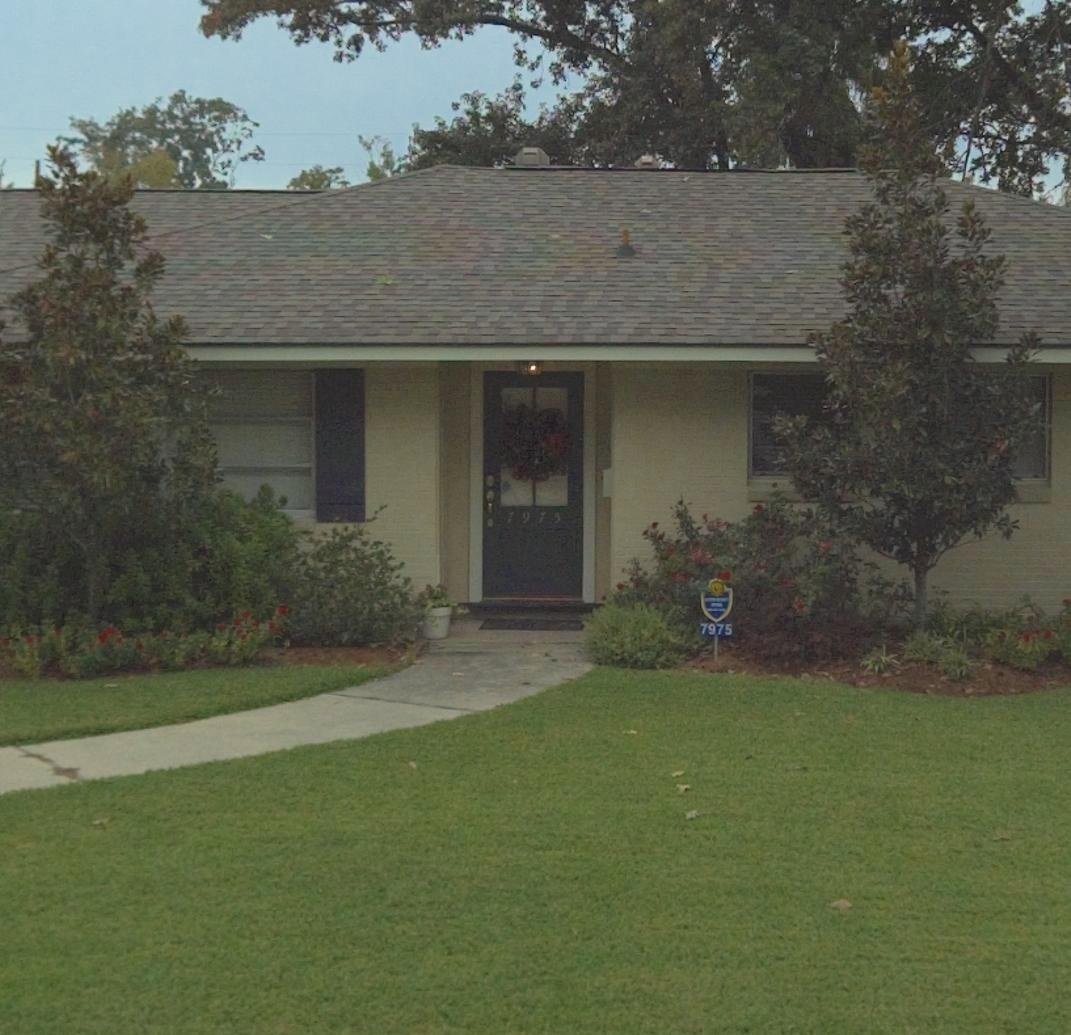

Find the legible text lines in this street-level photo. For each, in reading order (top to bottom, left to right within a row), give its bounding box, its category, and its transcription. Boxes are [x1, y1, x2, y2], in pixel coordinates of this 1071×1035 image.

[504, 509, 562, 525] StreetNumber: 7975
[699, 623, 733, 635] StreetNumber: 7675